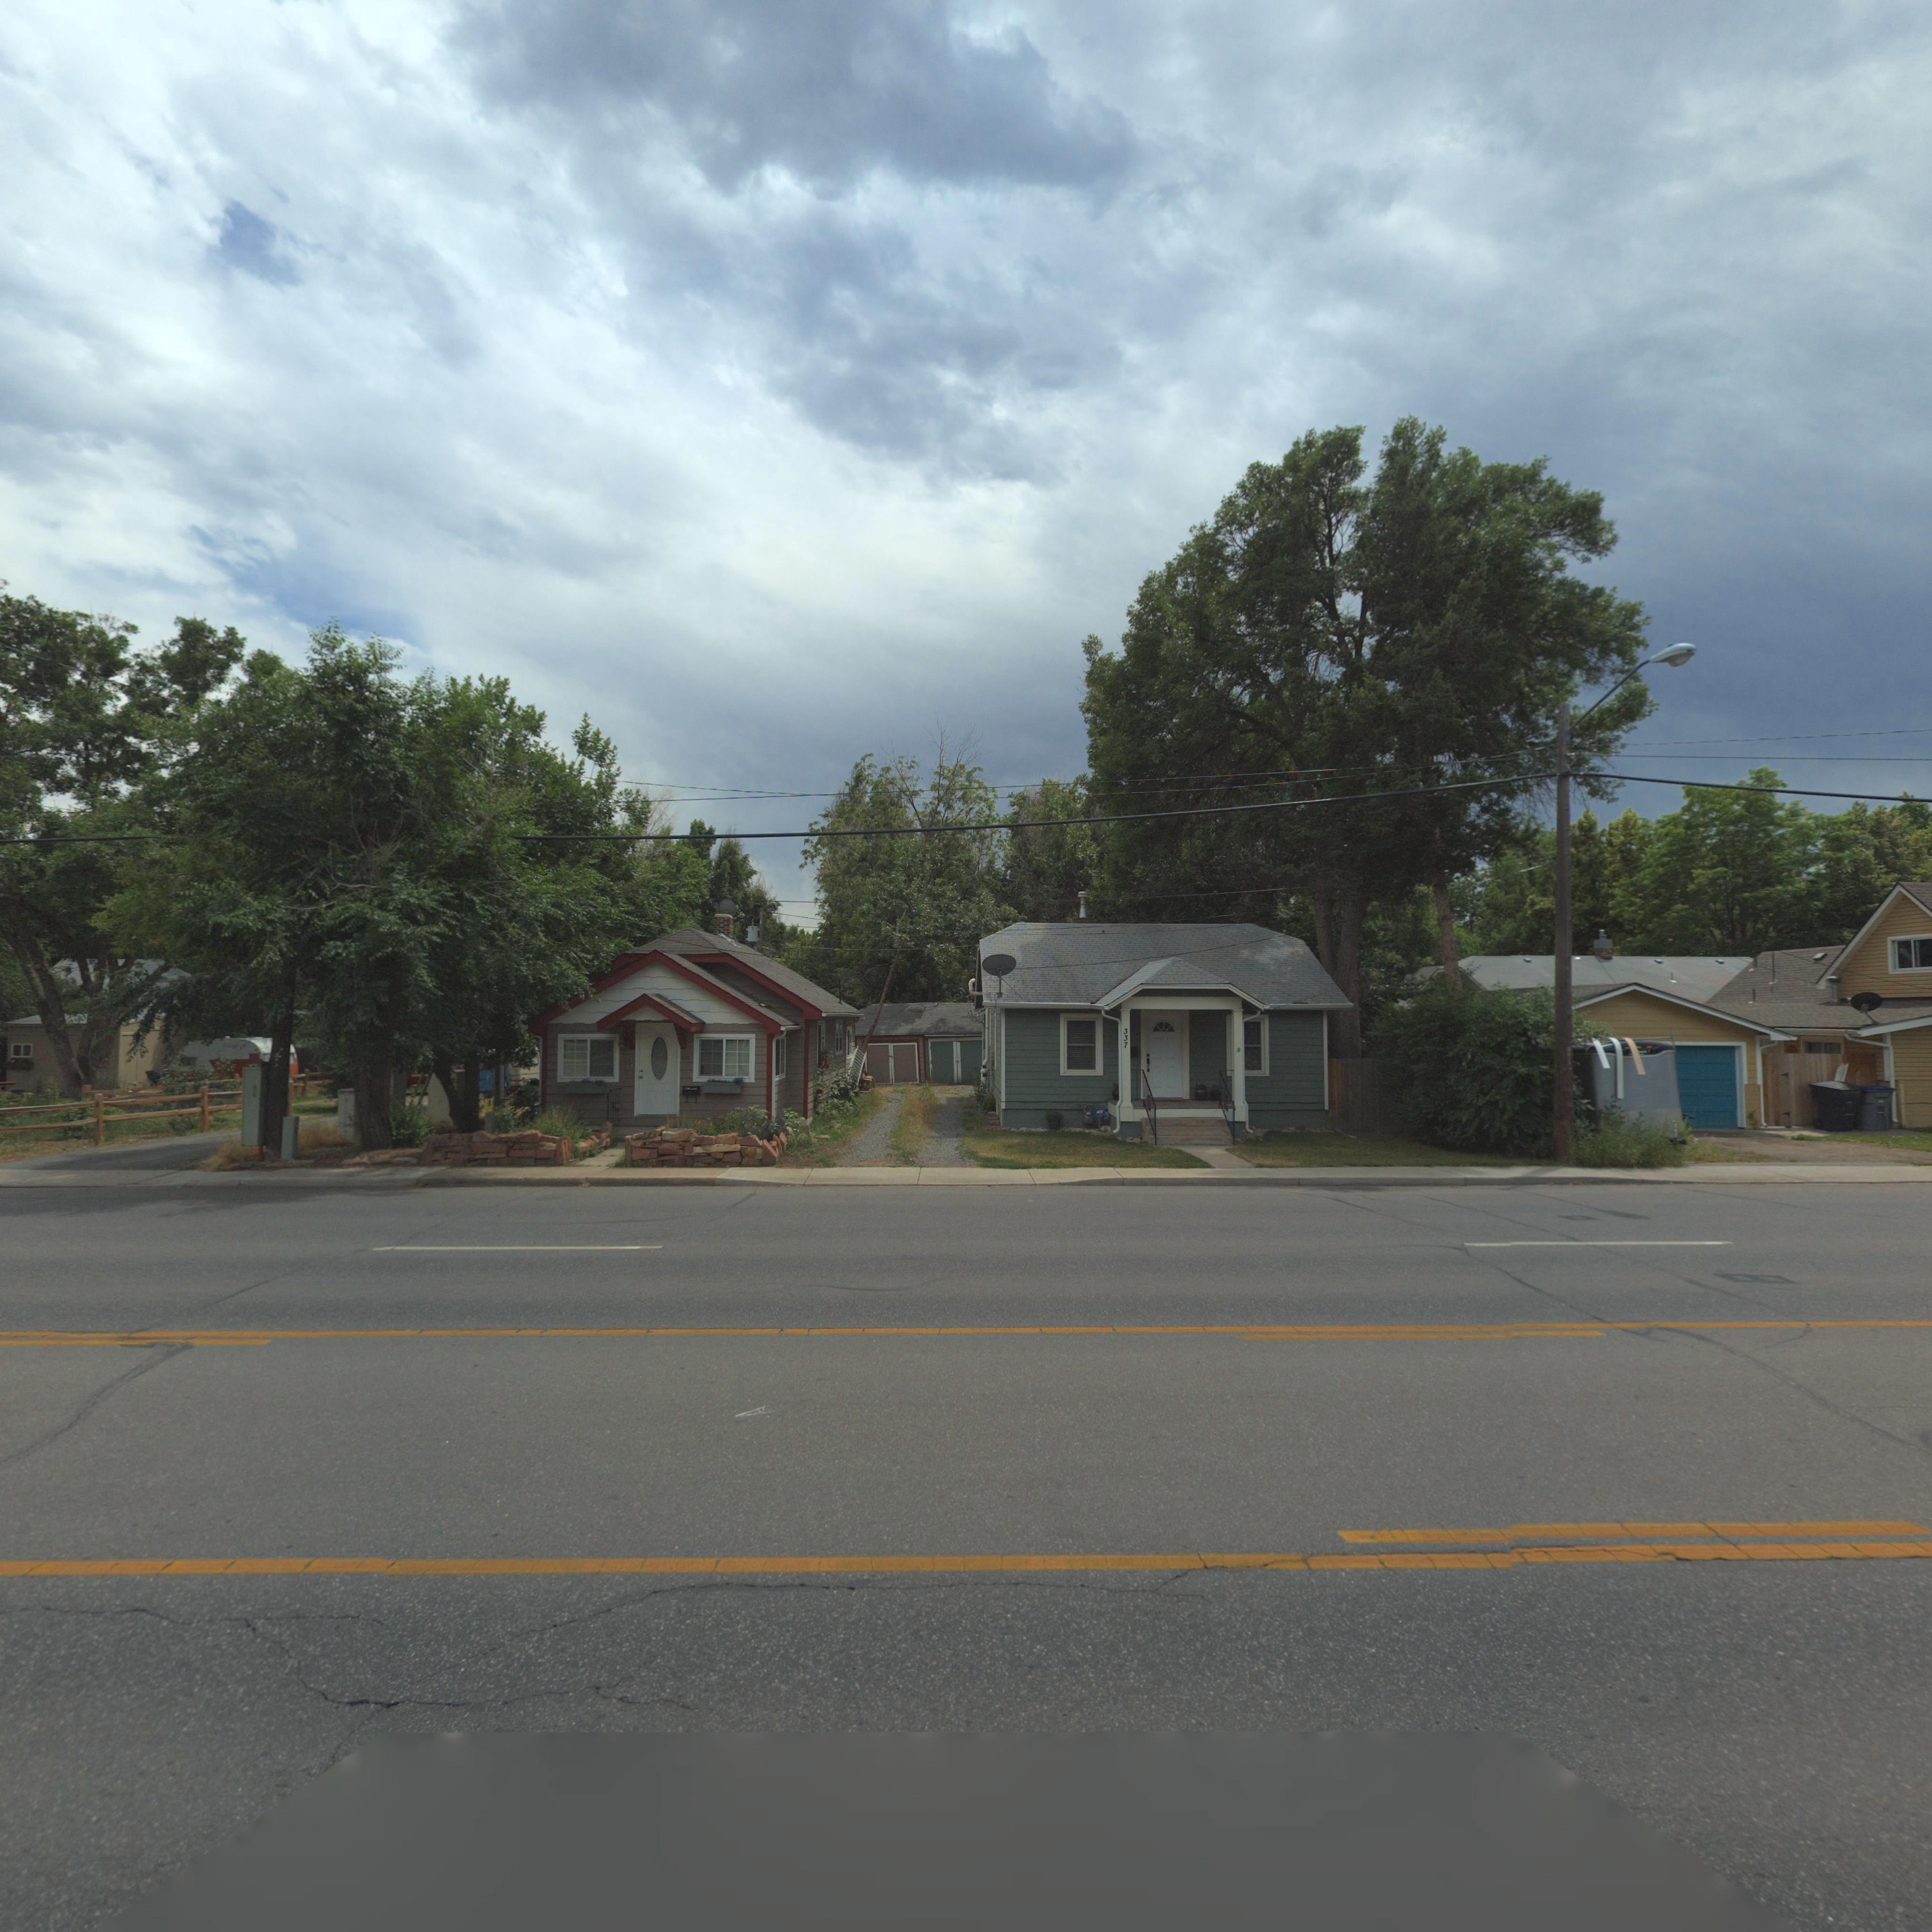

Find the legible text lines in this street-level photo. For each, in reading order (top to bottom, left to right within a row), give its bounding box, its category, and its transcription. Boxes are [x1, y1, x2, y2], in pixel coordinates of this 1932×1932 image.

[1123, 1028, 1128, 1048] StreetNumber: 337
[681, 1055, 690, 1061] StreetNumber: 3**